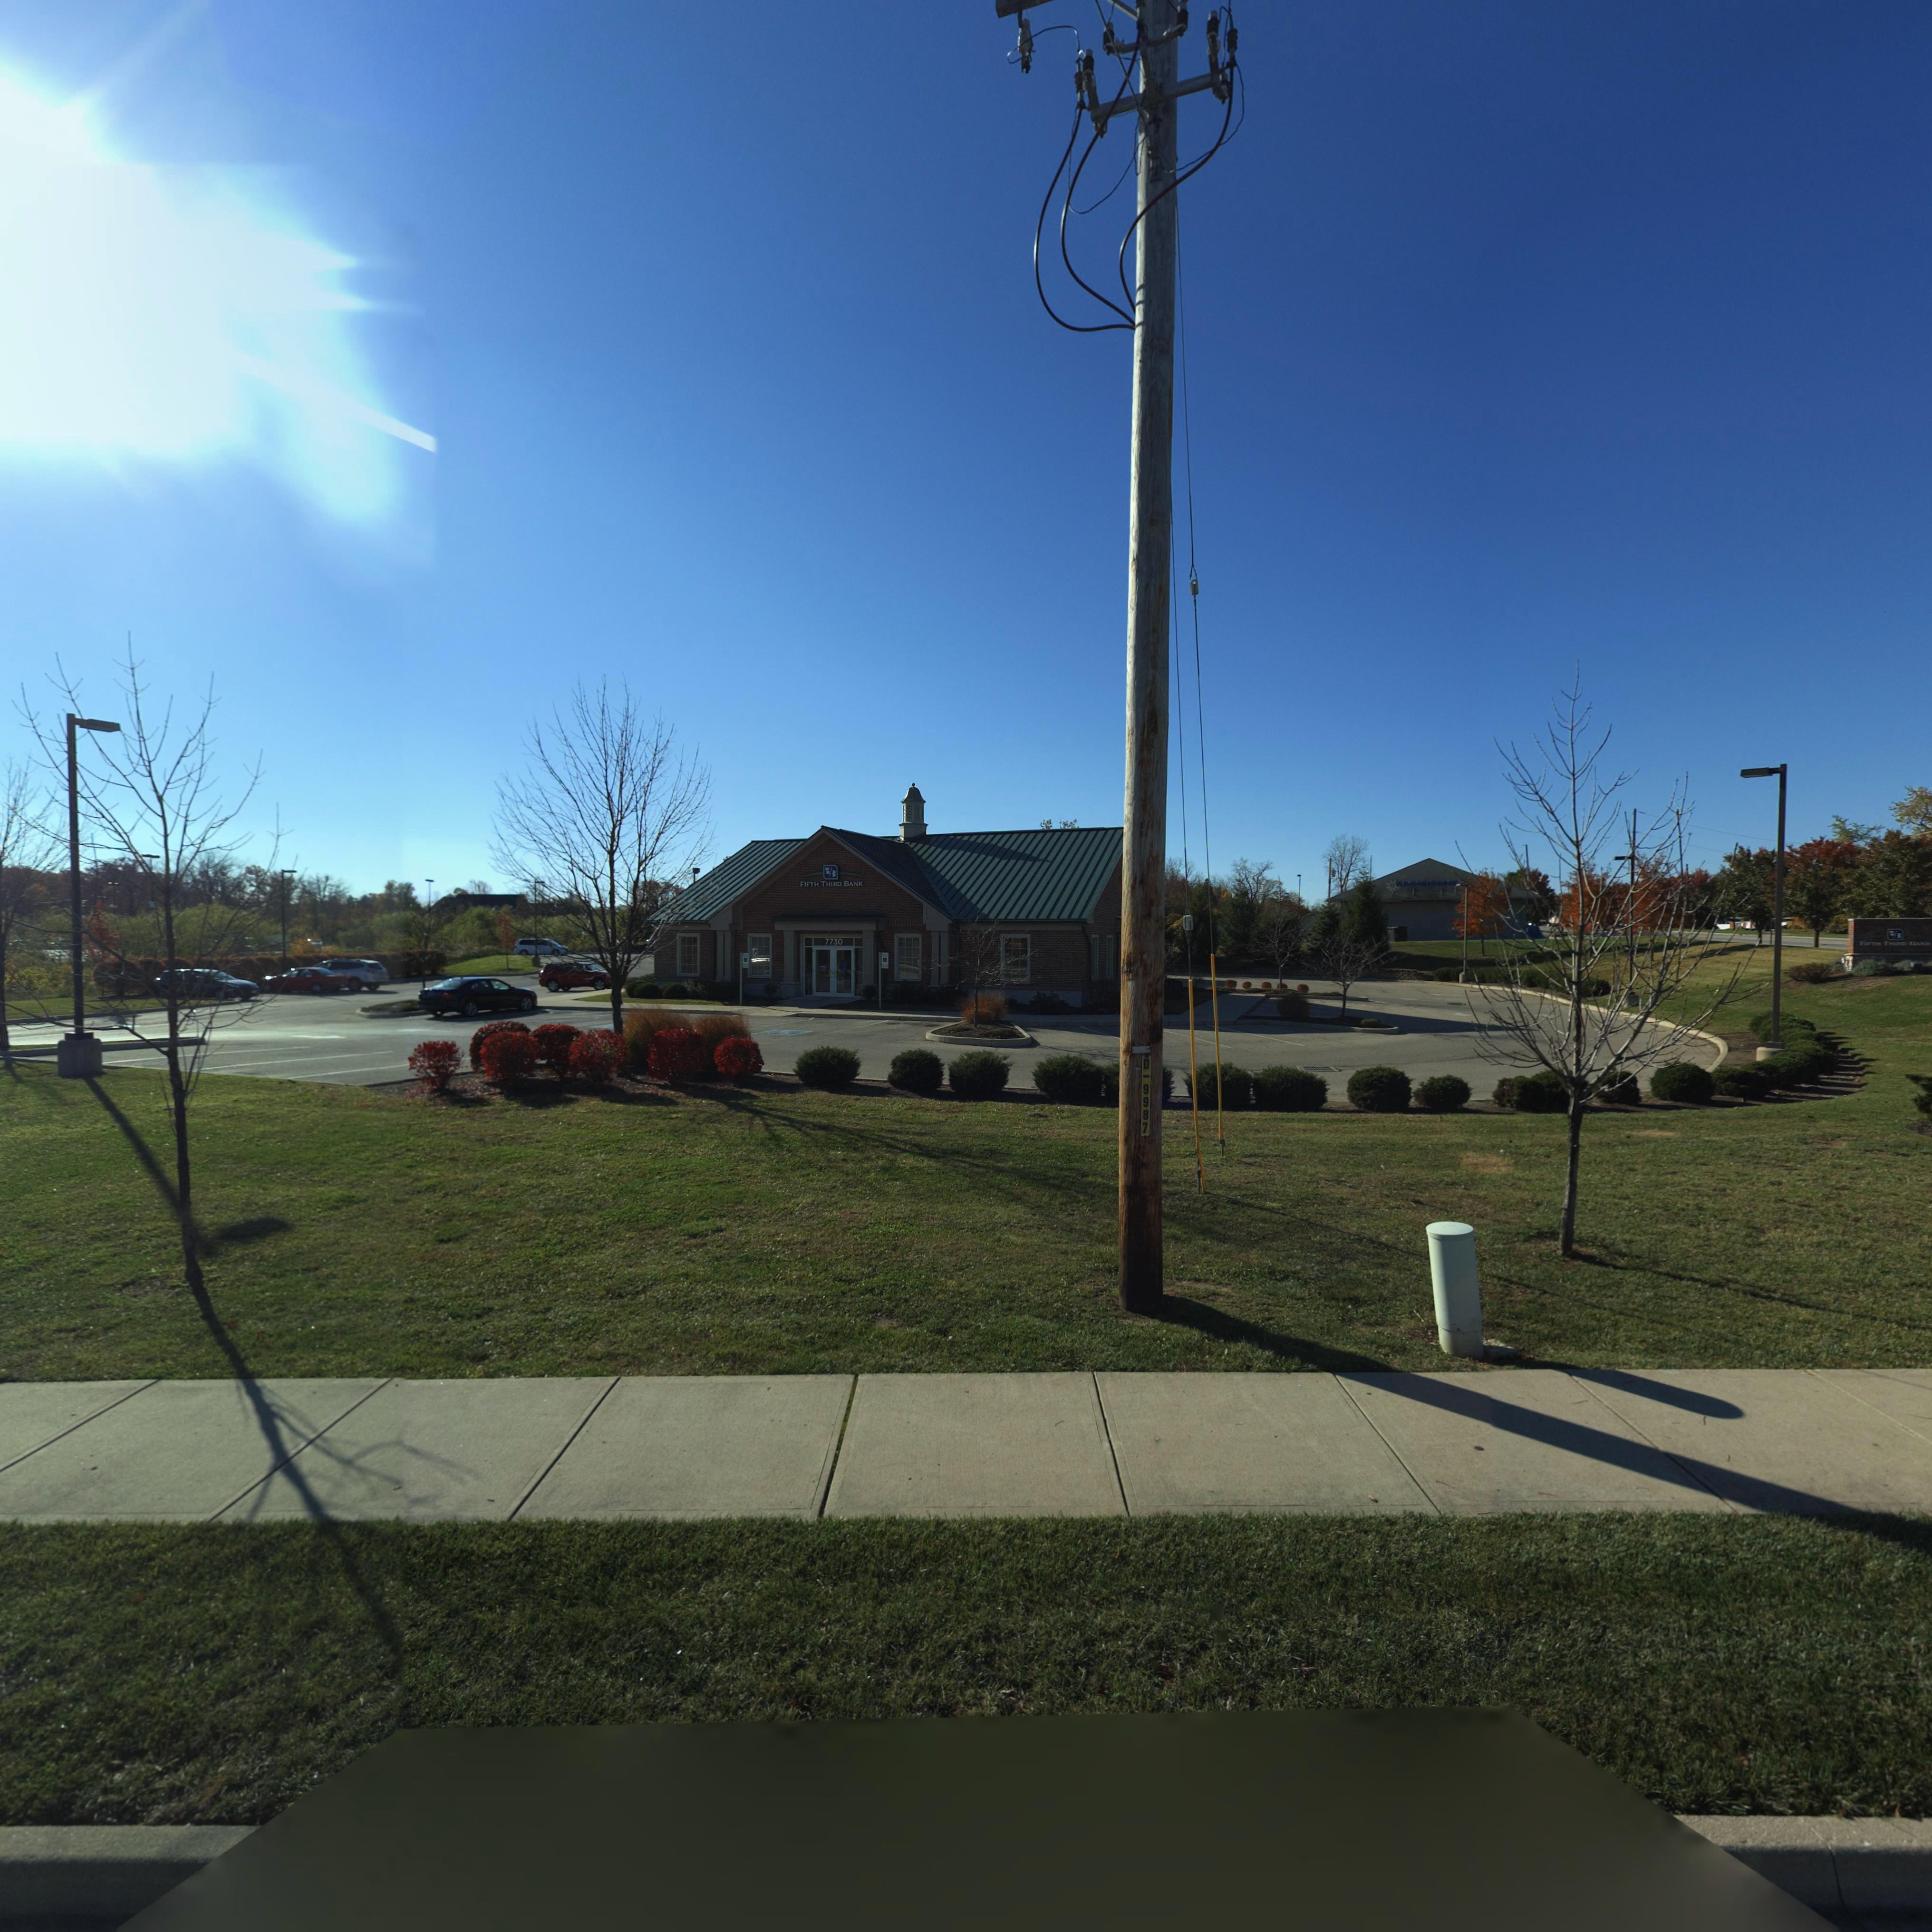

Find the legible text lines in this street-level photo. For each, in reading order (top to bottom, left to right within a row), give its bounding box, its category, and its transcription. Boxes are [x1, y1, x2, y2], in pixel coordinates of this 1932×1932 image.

[800, 880, 864, 888] None: FIFTH THIRD BANK
[824, 937, 844, 946] StreetNumber: 7730